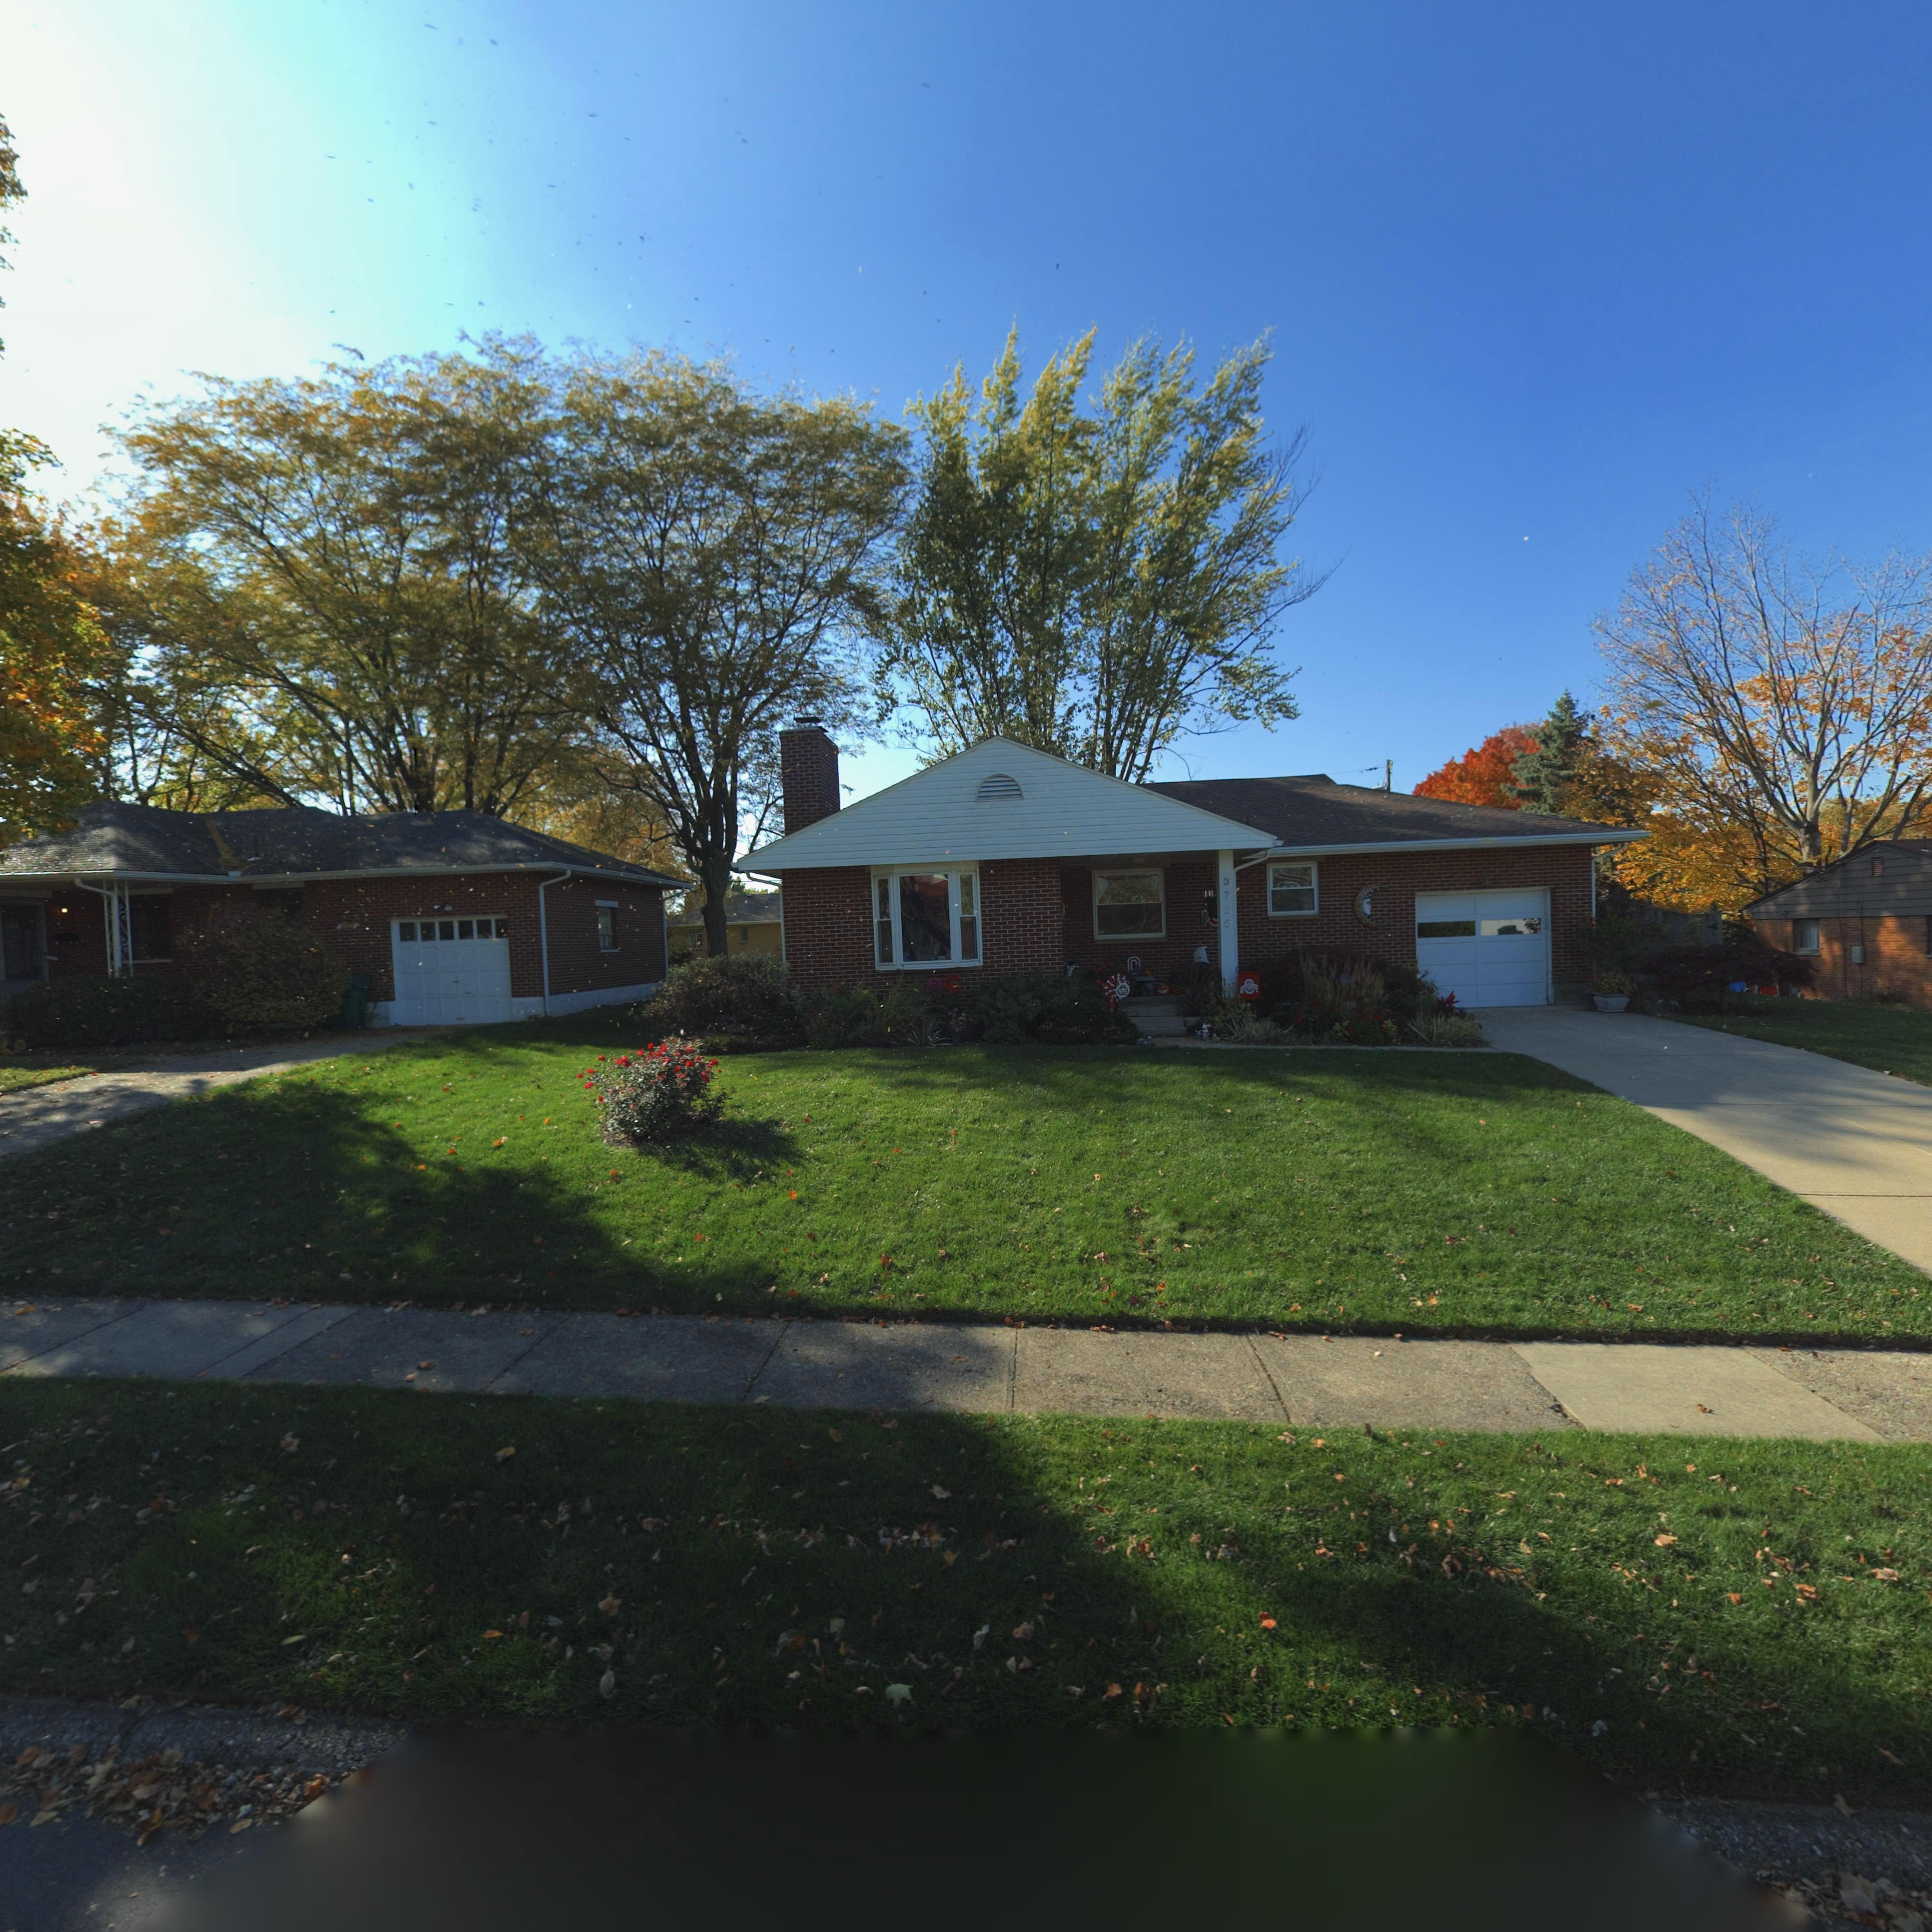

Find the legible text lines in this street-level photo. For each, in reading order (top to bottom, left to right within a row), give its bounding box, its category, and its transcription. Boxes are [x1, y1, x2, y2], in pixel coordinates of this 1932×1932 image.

[1221, 875, 1232, 930] StreetNumber: 3725